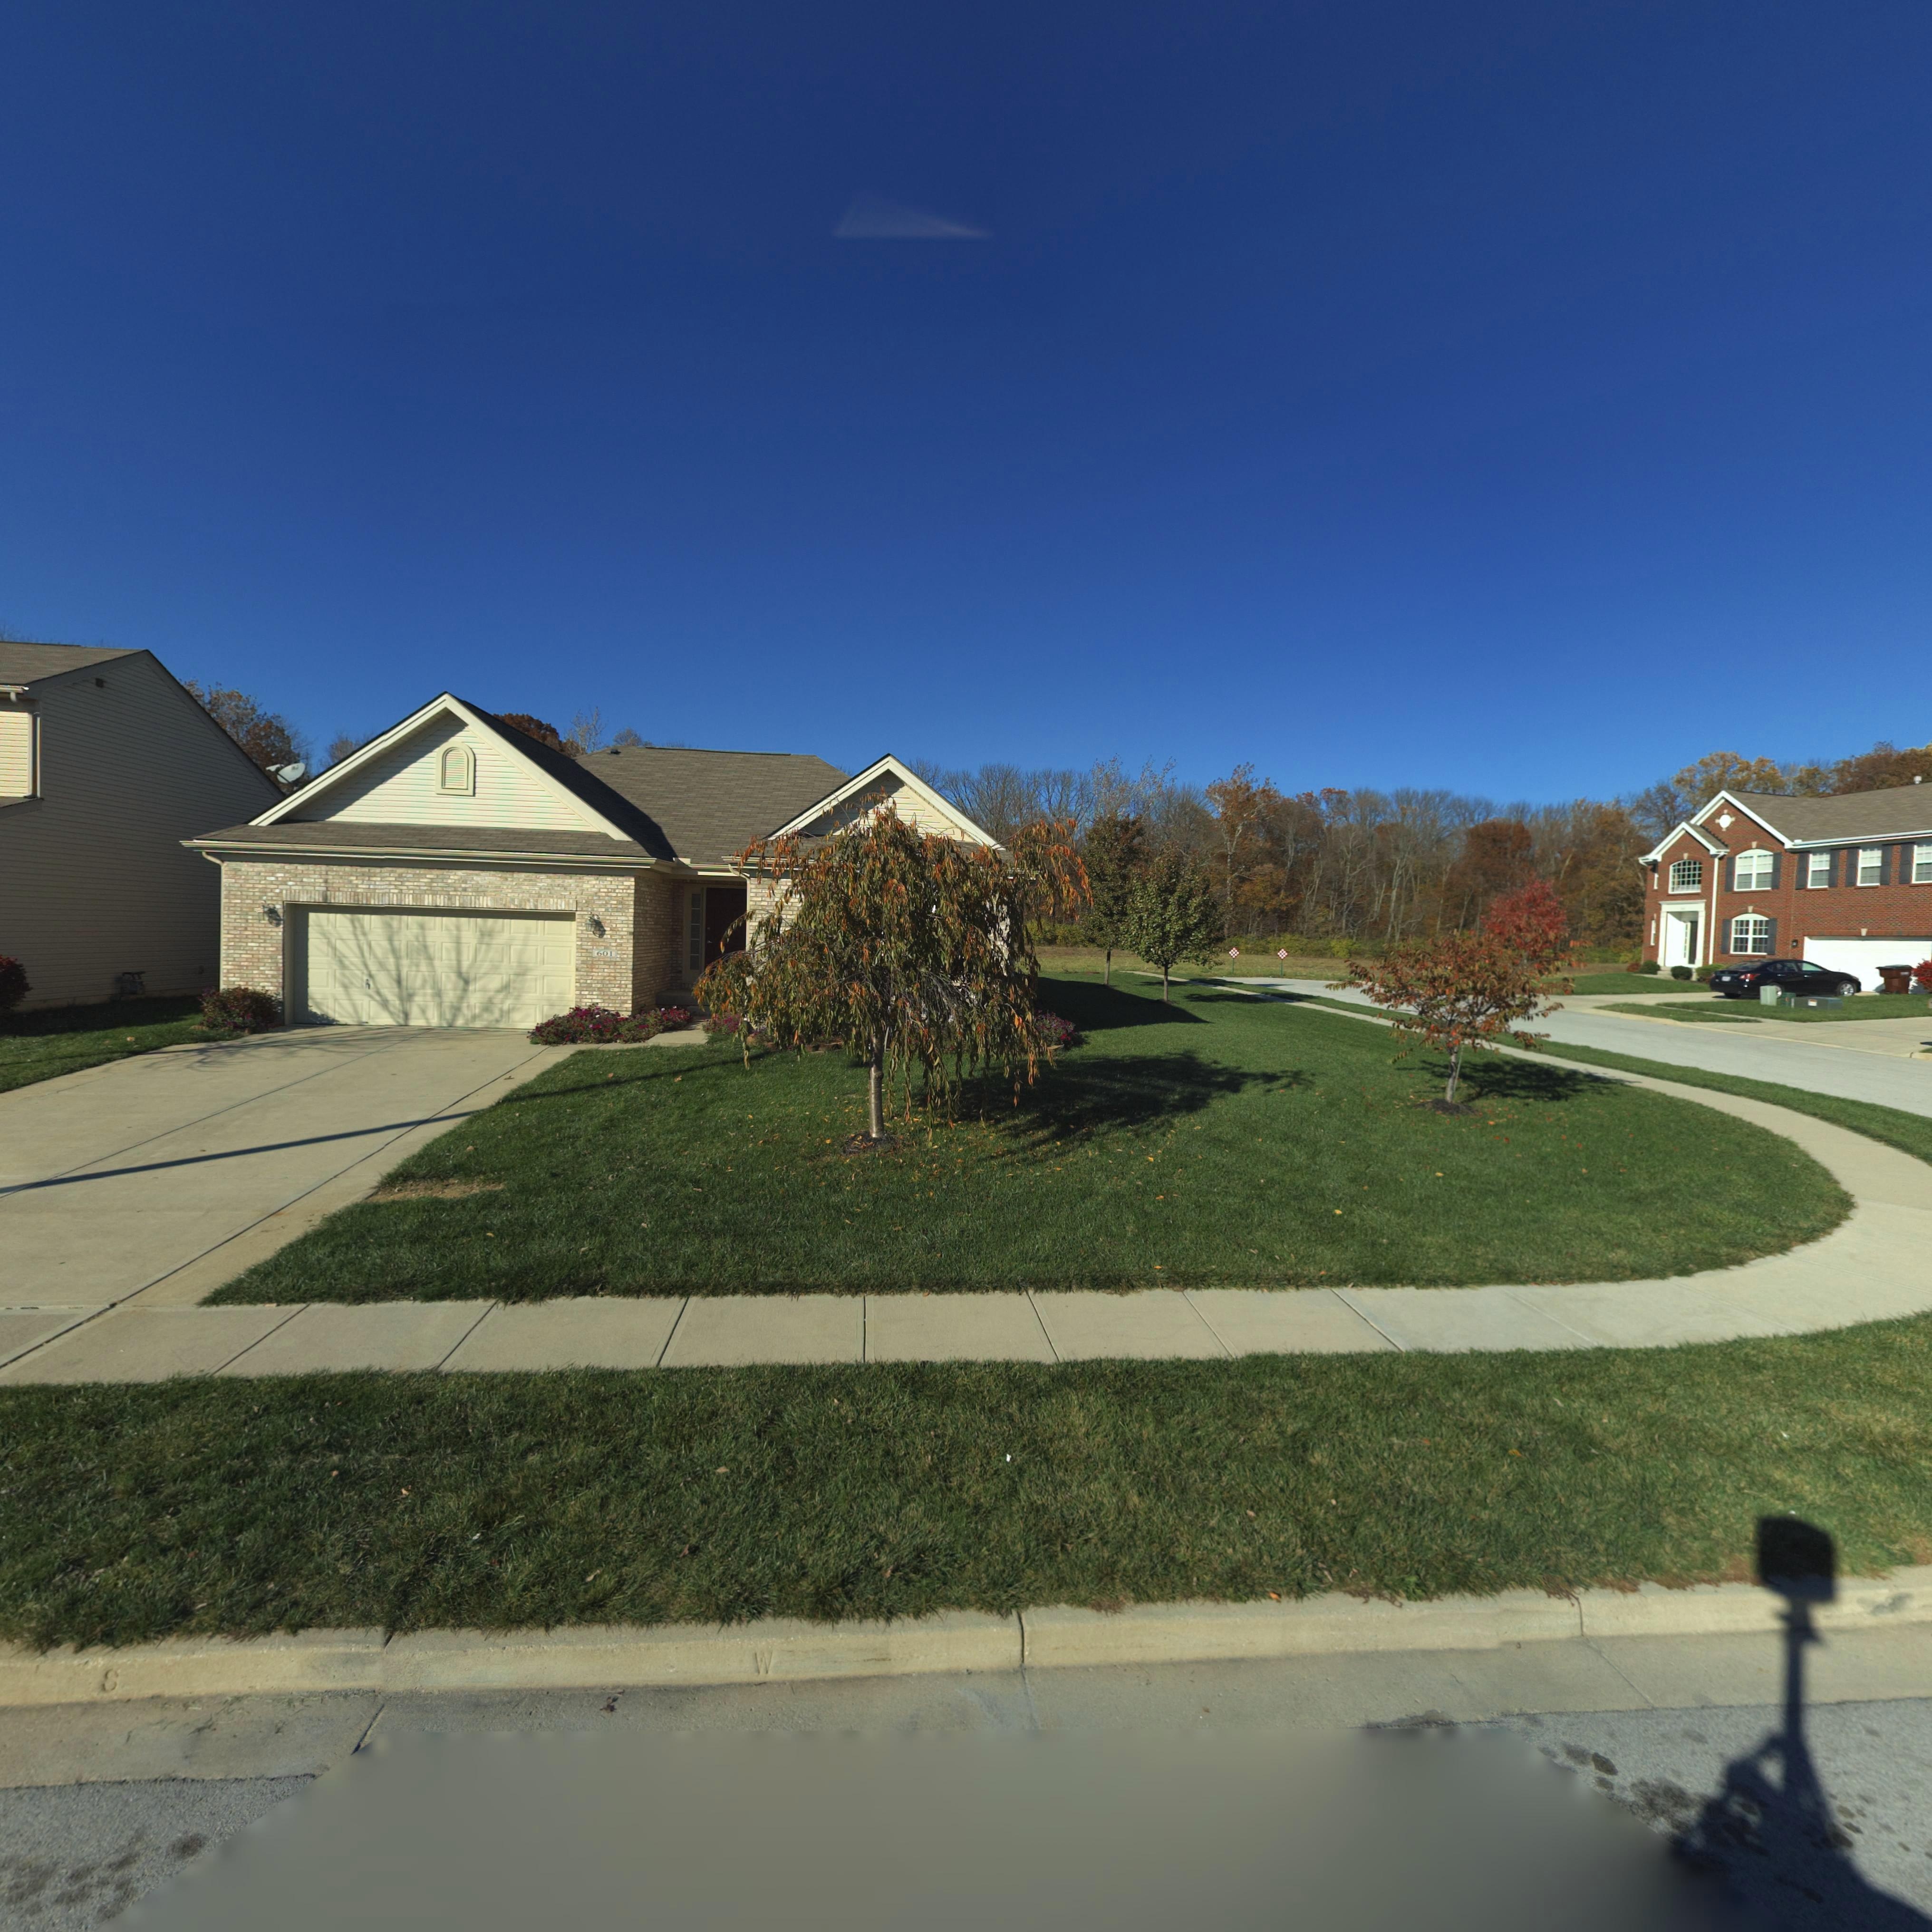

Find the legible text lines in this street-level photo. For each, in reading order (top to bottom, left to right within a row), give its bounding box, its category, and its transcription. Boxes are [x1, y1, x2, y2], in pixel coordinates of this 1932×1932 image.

[596, 950, 612, 957] StreetNumber: 601